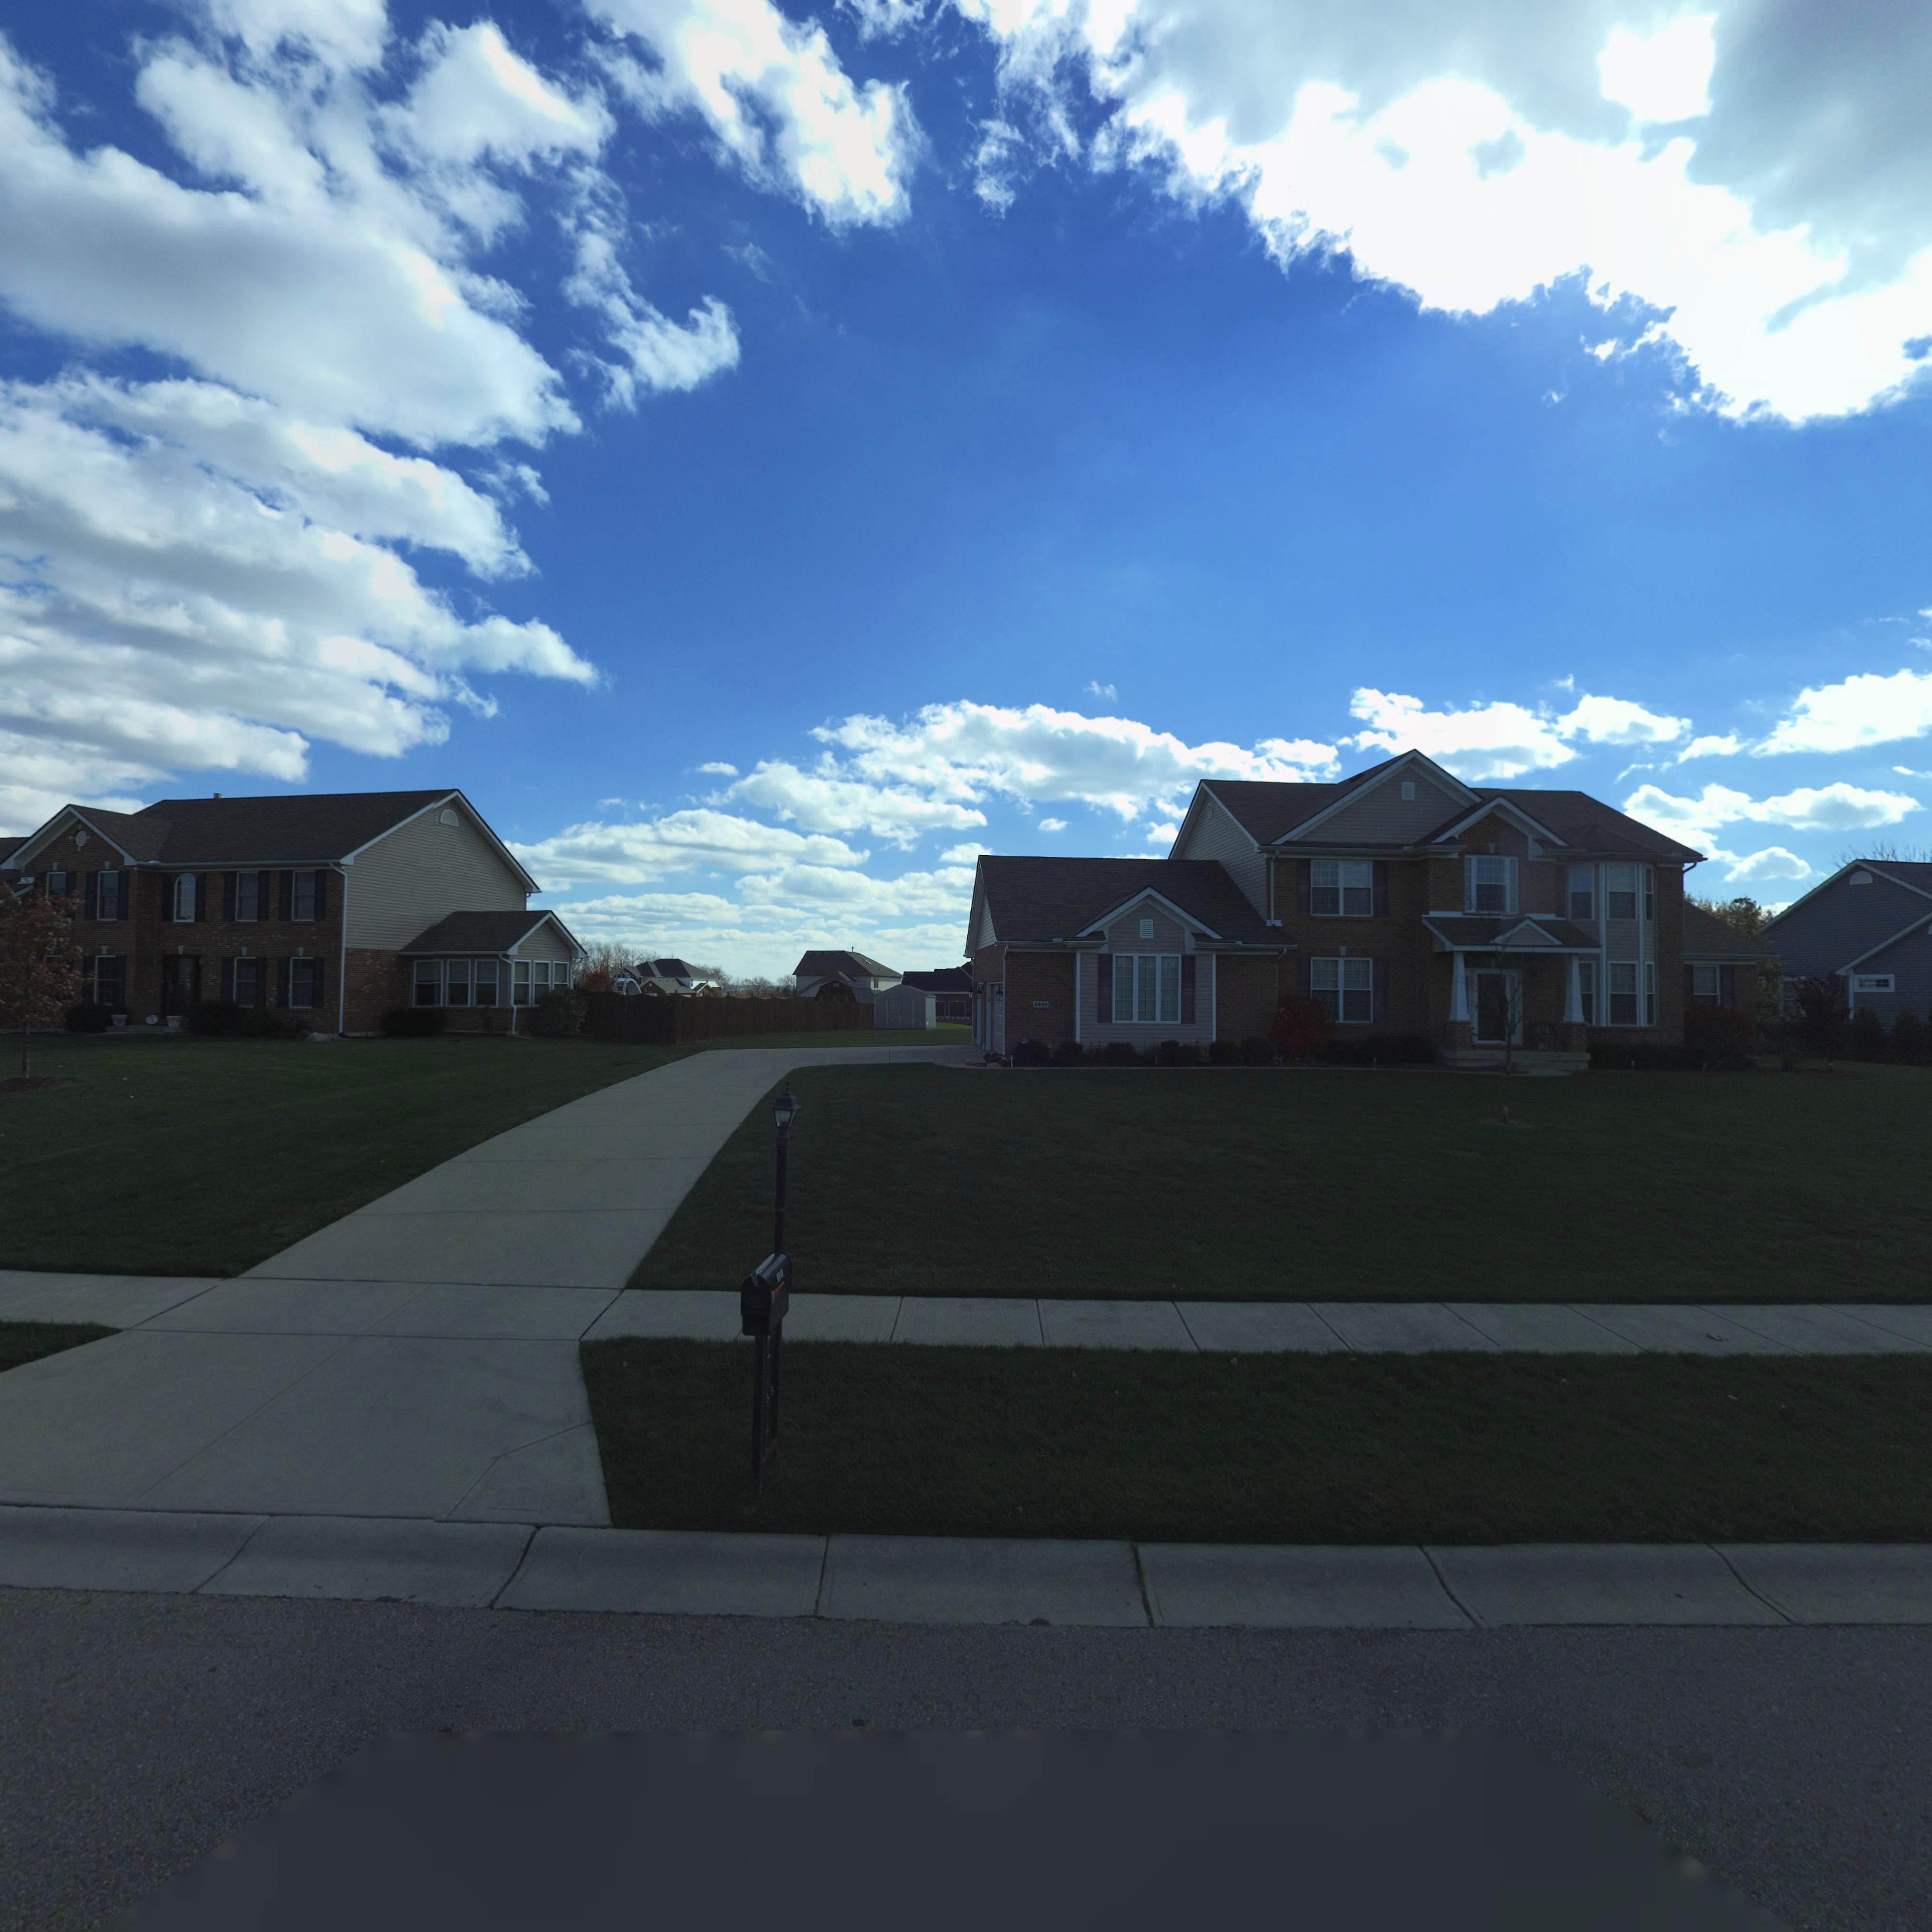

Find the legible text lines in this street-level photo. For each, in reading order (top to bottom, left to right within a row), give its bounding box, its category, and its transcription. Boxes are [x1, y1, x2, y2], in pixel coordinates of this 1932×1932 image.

[1034, 1002, 1048, 1007] None: 6846